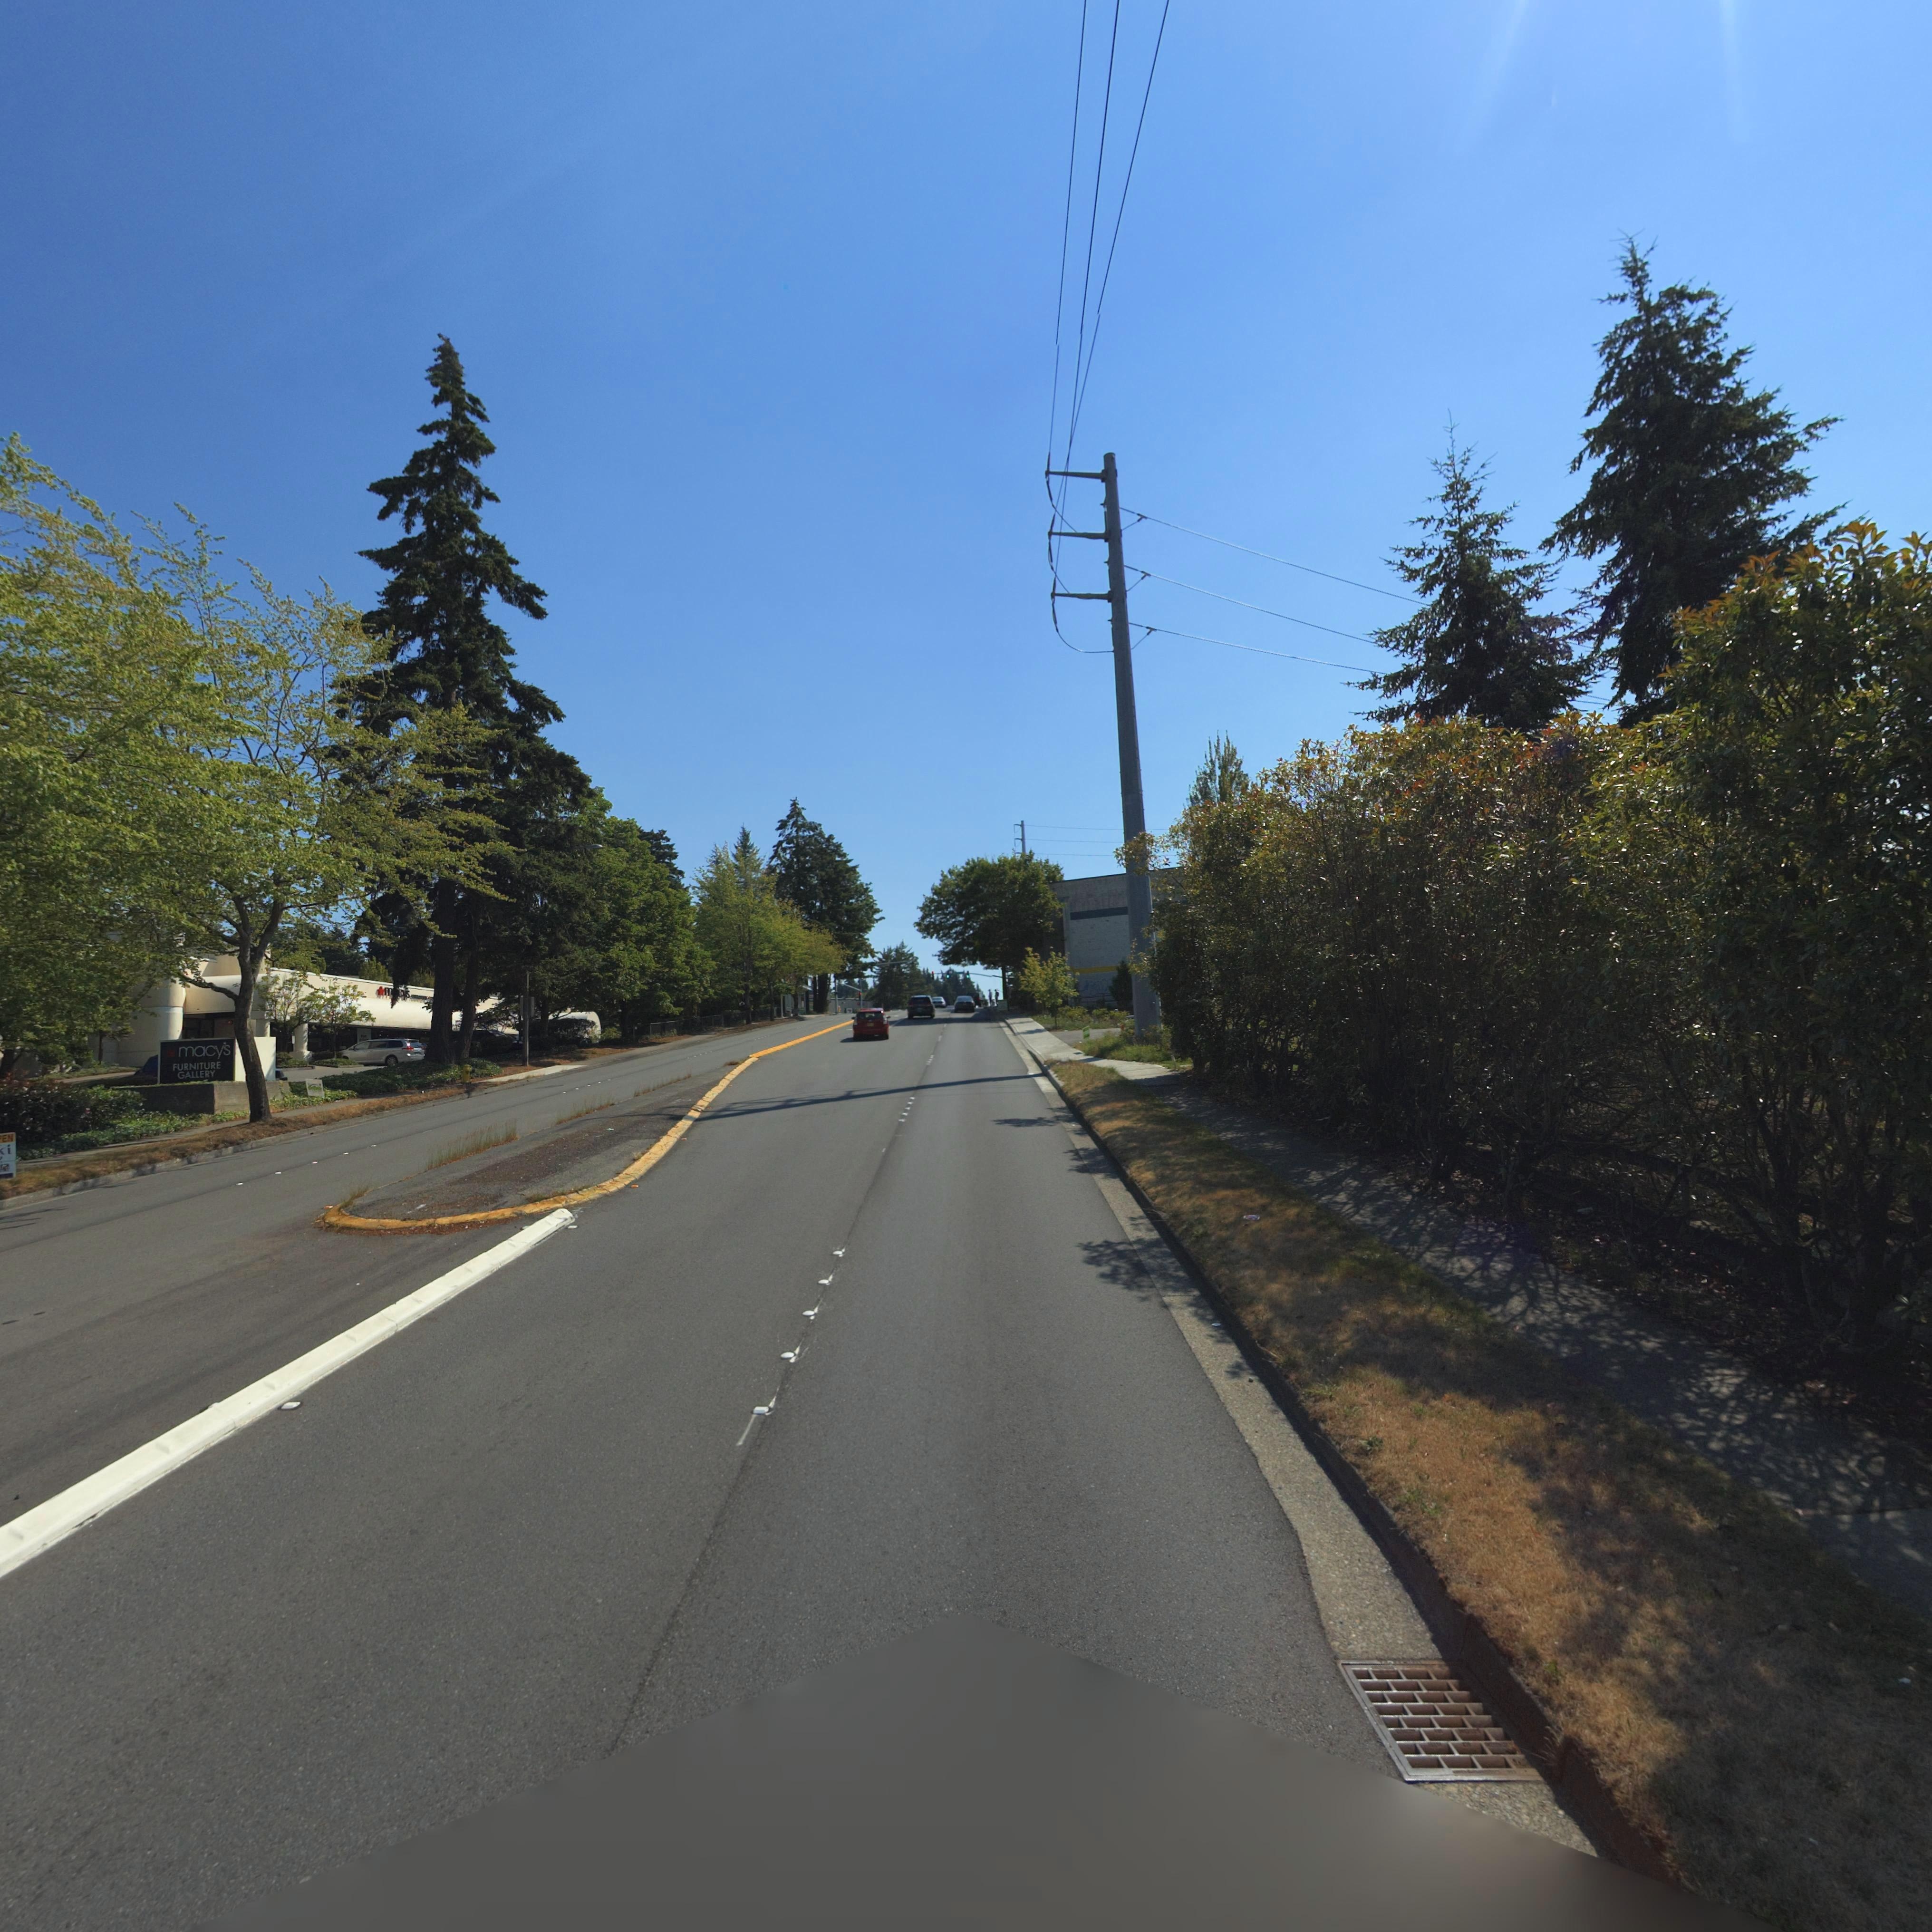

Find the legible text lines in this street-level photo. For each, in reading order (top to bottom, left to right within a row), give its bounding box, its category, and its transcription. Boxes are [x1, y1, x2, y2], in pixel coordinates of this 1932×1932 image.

[178, 1042, 232, 1060] BusinessName: macy's
[173, 1061, 221, 1071] BusinessName: FURNITURE
[176, 1069, 217, 1079] BusinessName: GALLERY